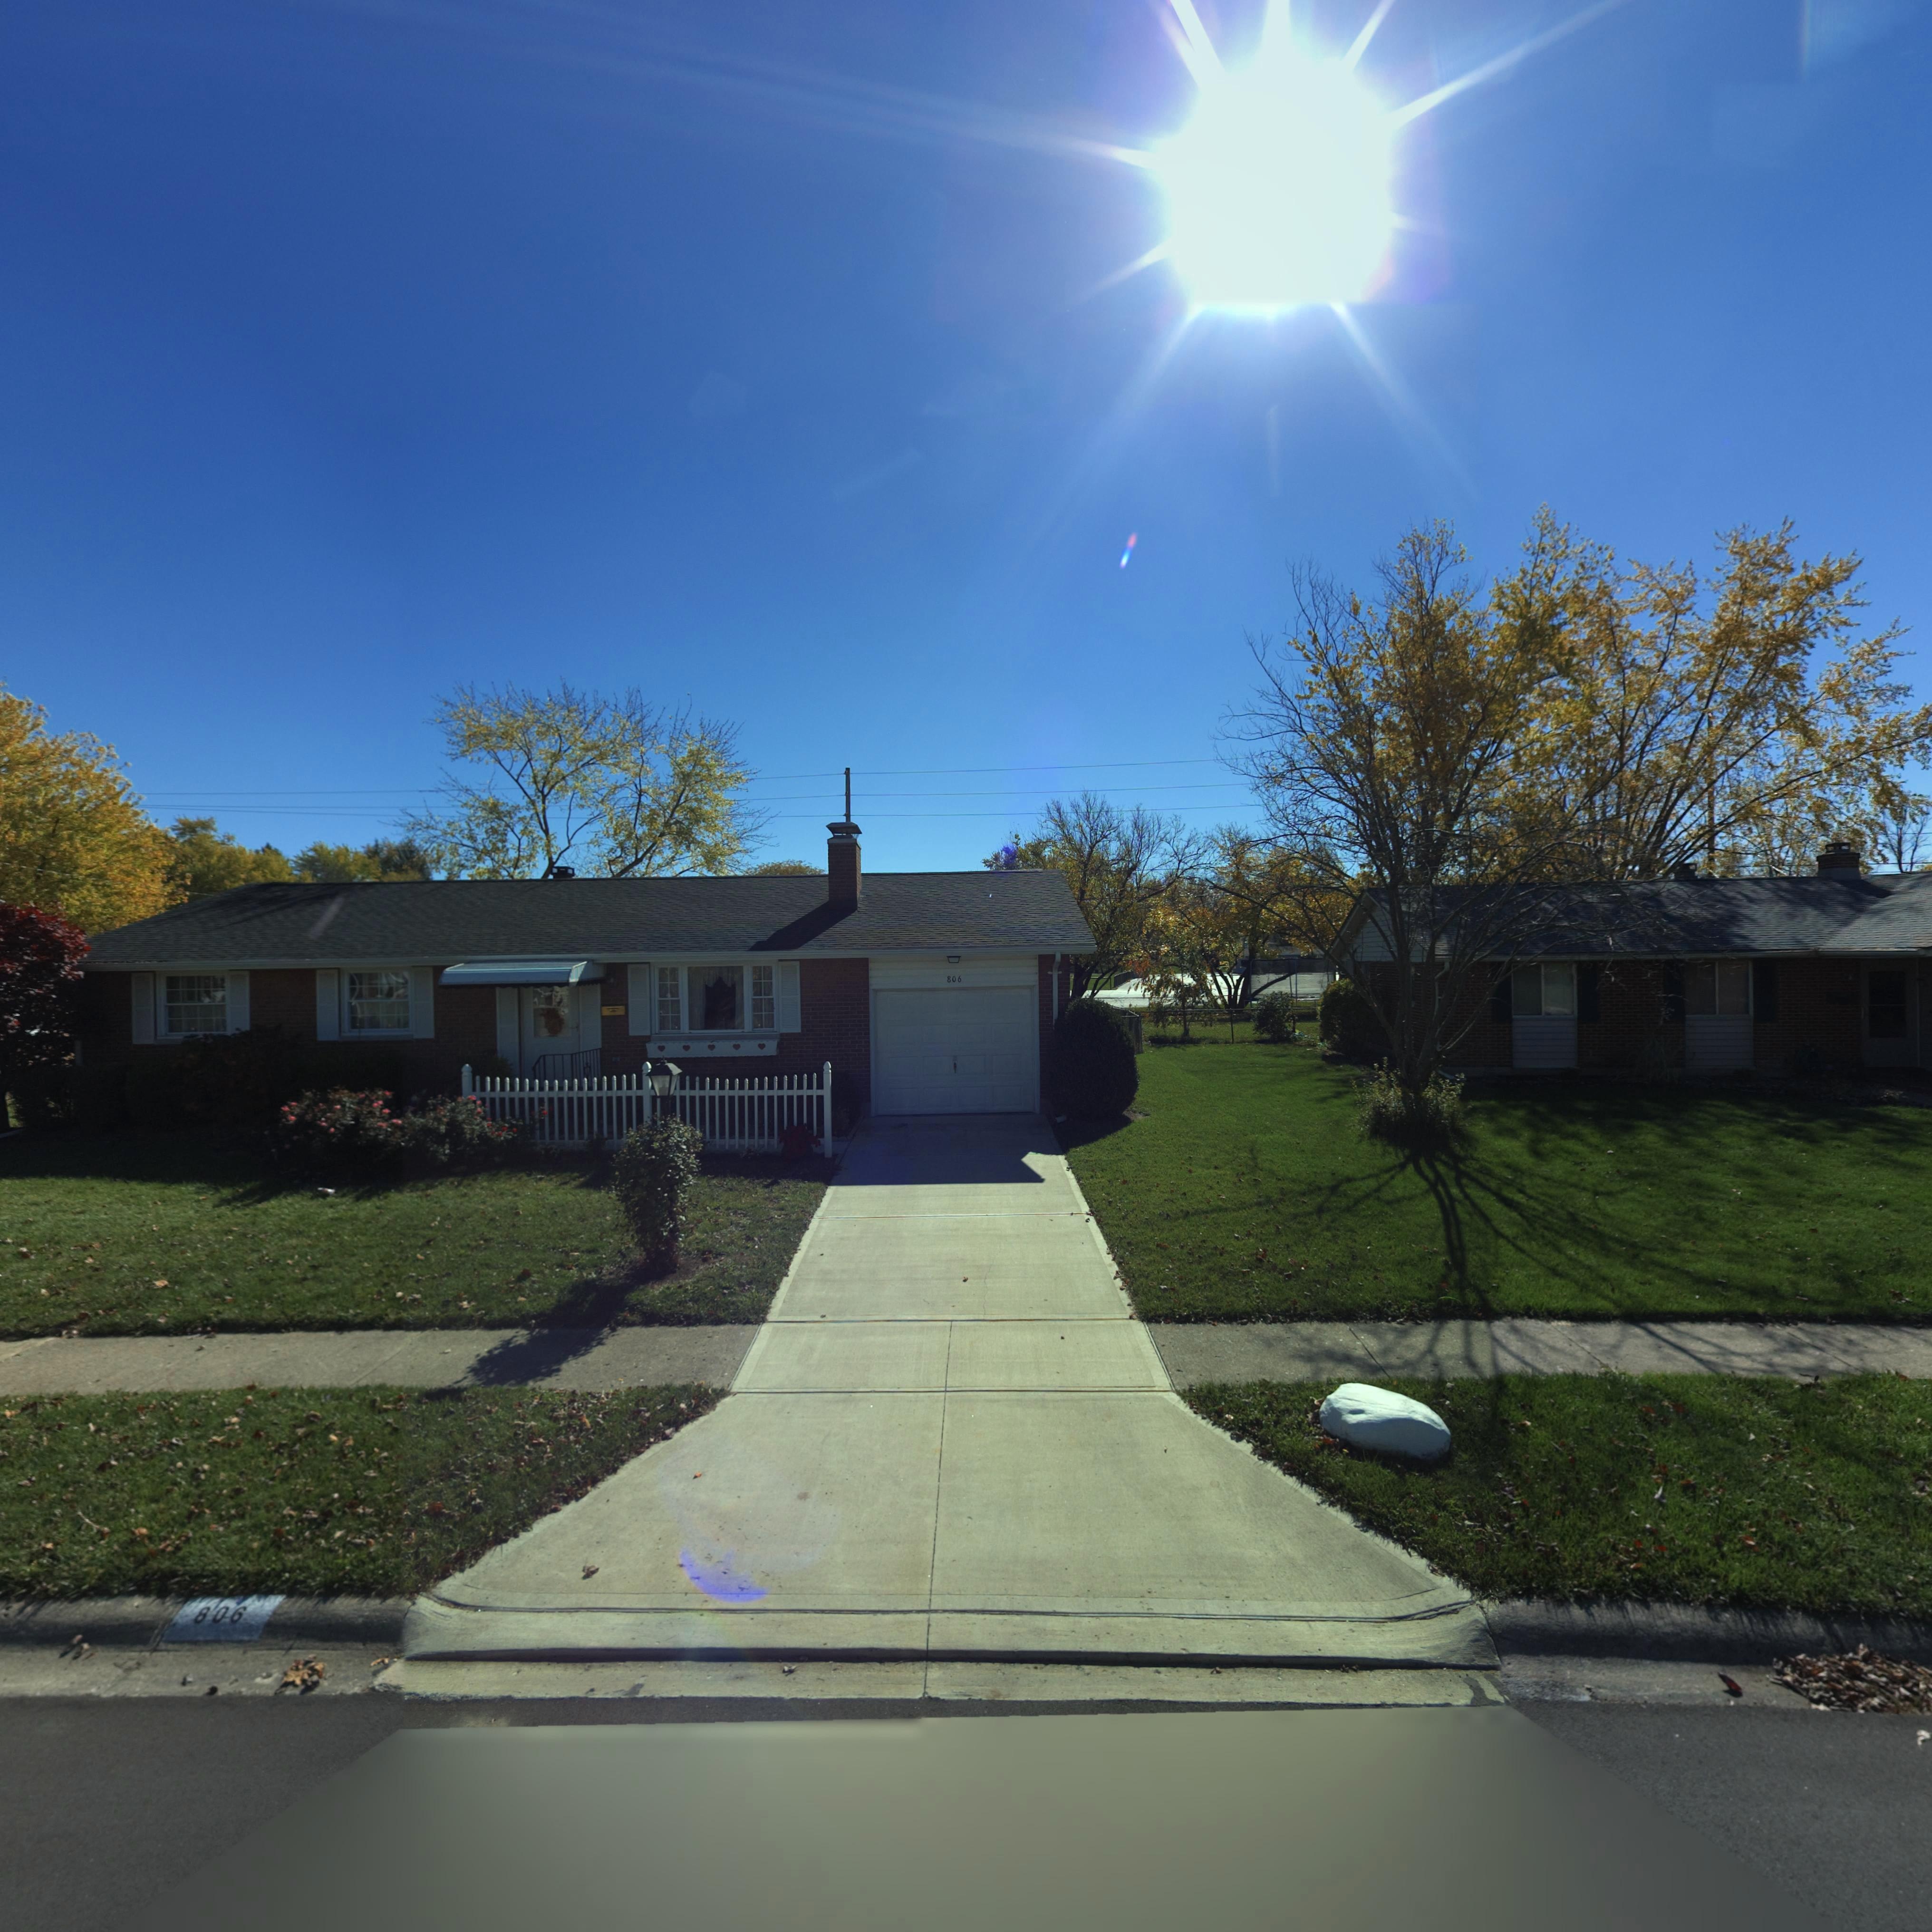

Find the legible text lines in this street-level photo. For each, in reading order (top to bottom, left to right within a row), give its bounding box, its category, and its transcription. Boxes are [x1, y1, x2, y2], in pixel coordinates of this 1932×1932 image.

[947, 975, 962, 983] StreetNumber: 806
[193, 1605, 247, 1625] StreetNumber: 806